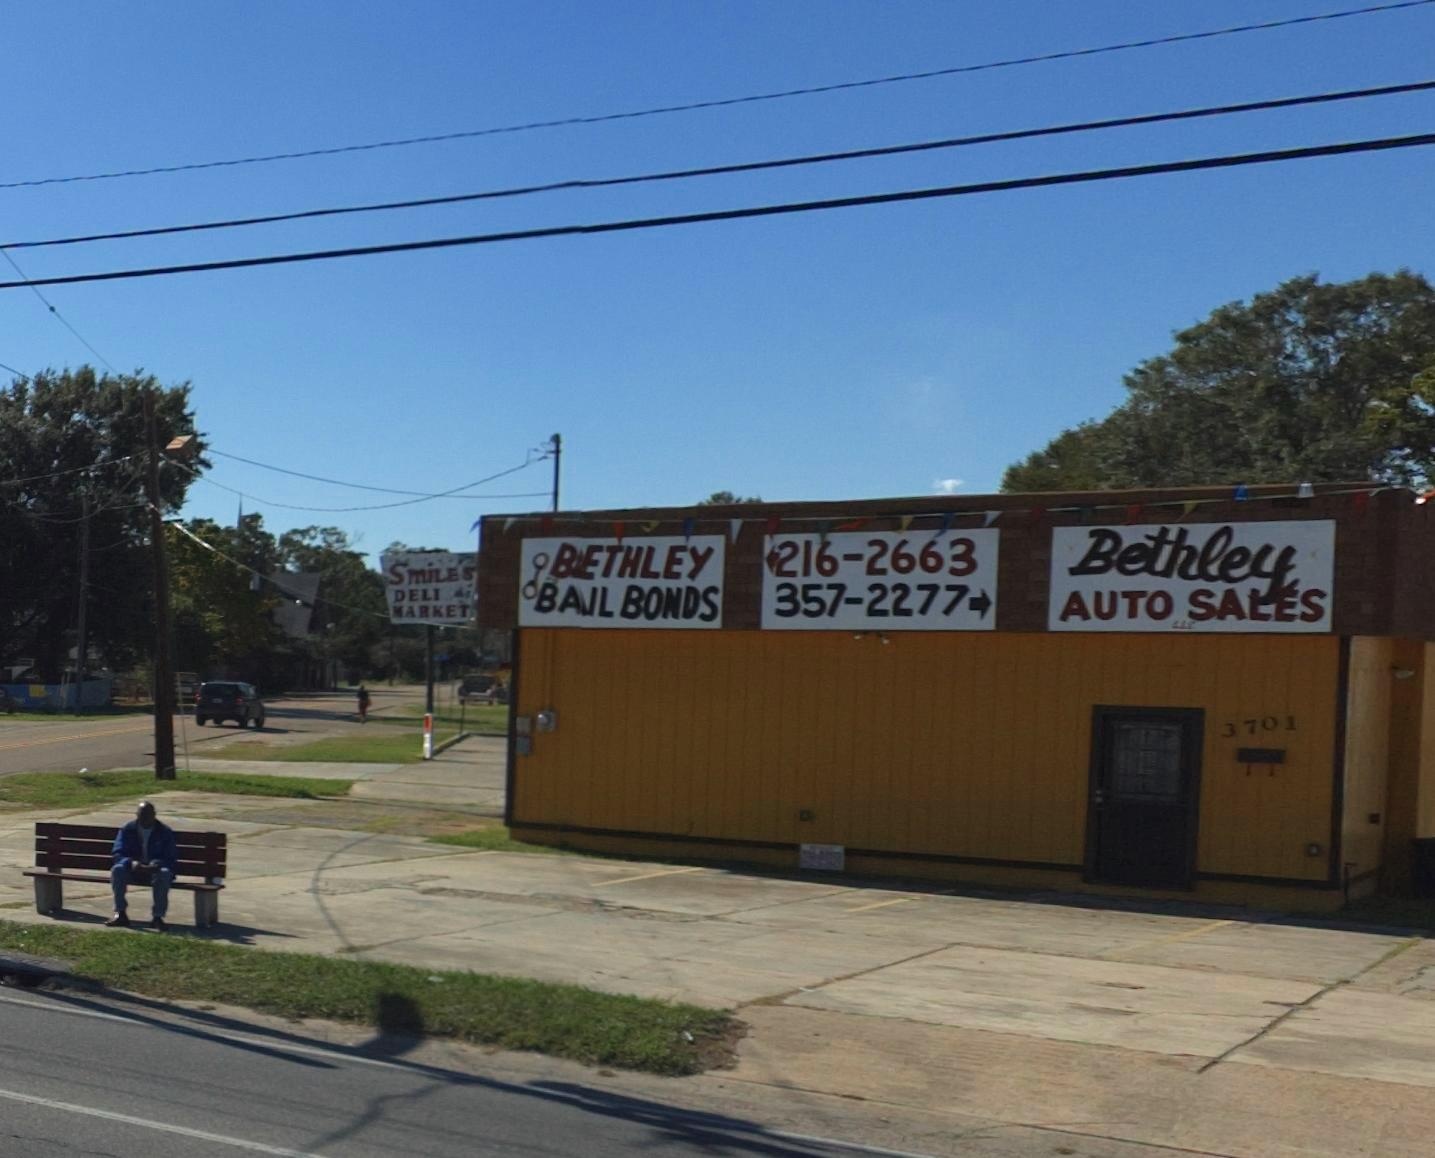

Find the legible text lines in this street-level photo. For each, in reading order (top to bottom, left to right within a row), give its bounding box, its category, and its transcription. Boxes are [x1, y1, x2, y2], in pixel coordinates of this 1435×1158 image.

[386, 557, 479, 587] BusinessName: Smile's
[542, 538, 720, 584] BusinessName: B*THLEY
[770, 533, 984, 580] None: 216-2663
[1059, 522, 1310, 611] BusinessName: Bethley
[391, 585, 445, 604] BusinessName: DELI
[390, 602, 474, 620] BusinessName: MARKET
[528, 579, 724, 625] BusinessName: B*IL BONDS
[771, 579, 981, 621] None: 357-2277
[1052, 586, 1332, 627] BusinessName: AUTO SALES
[1218, 711, 1301, 741] StreetNumber: 3701